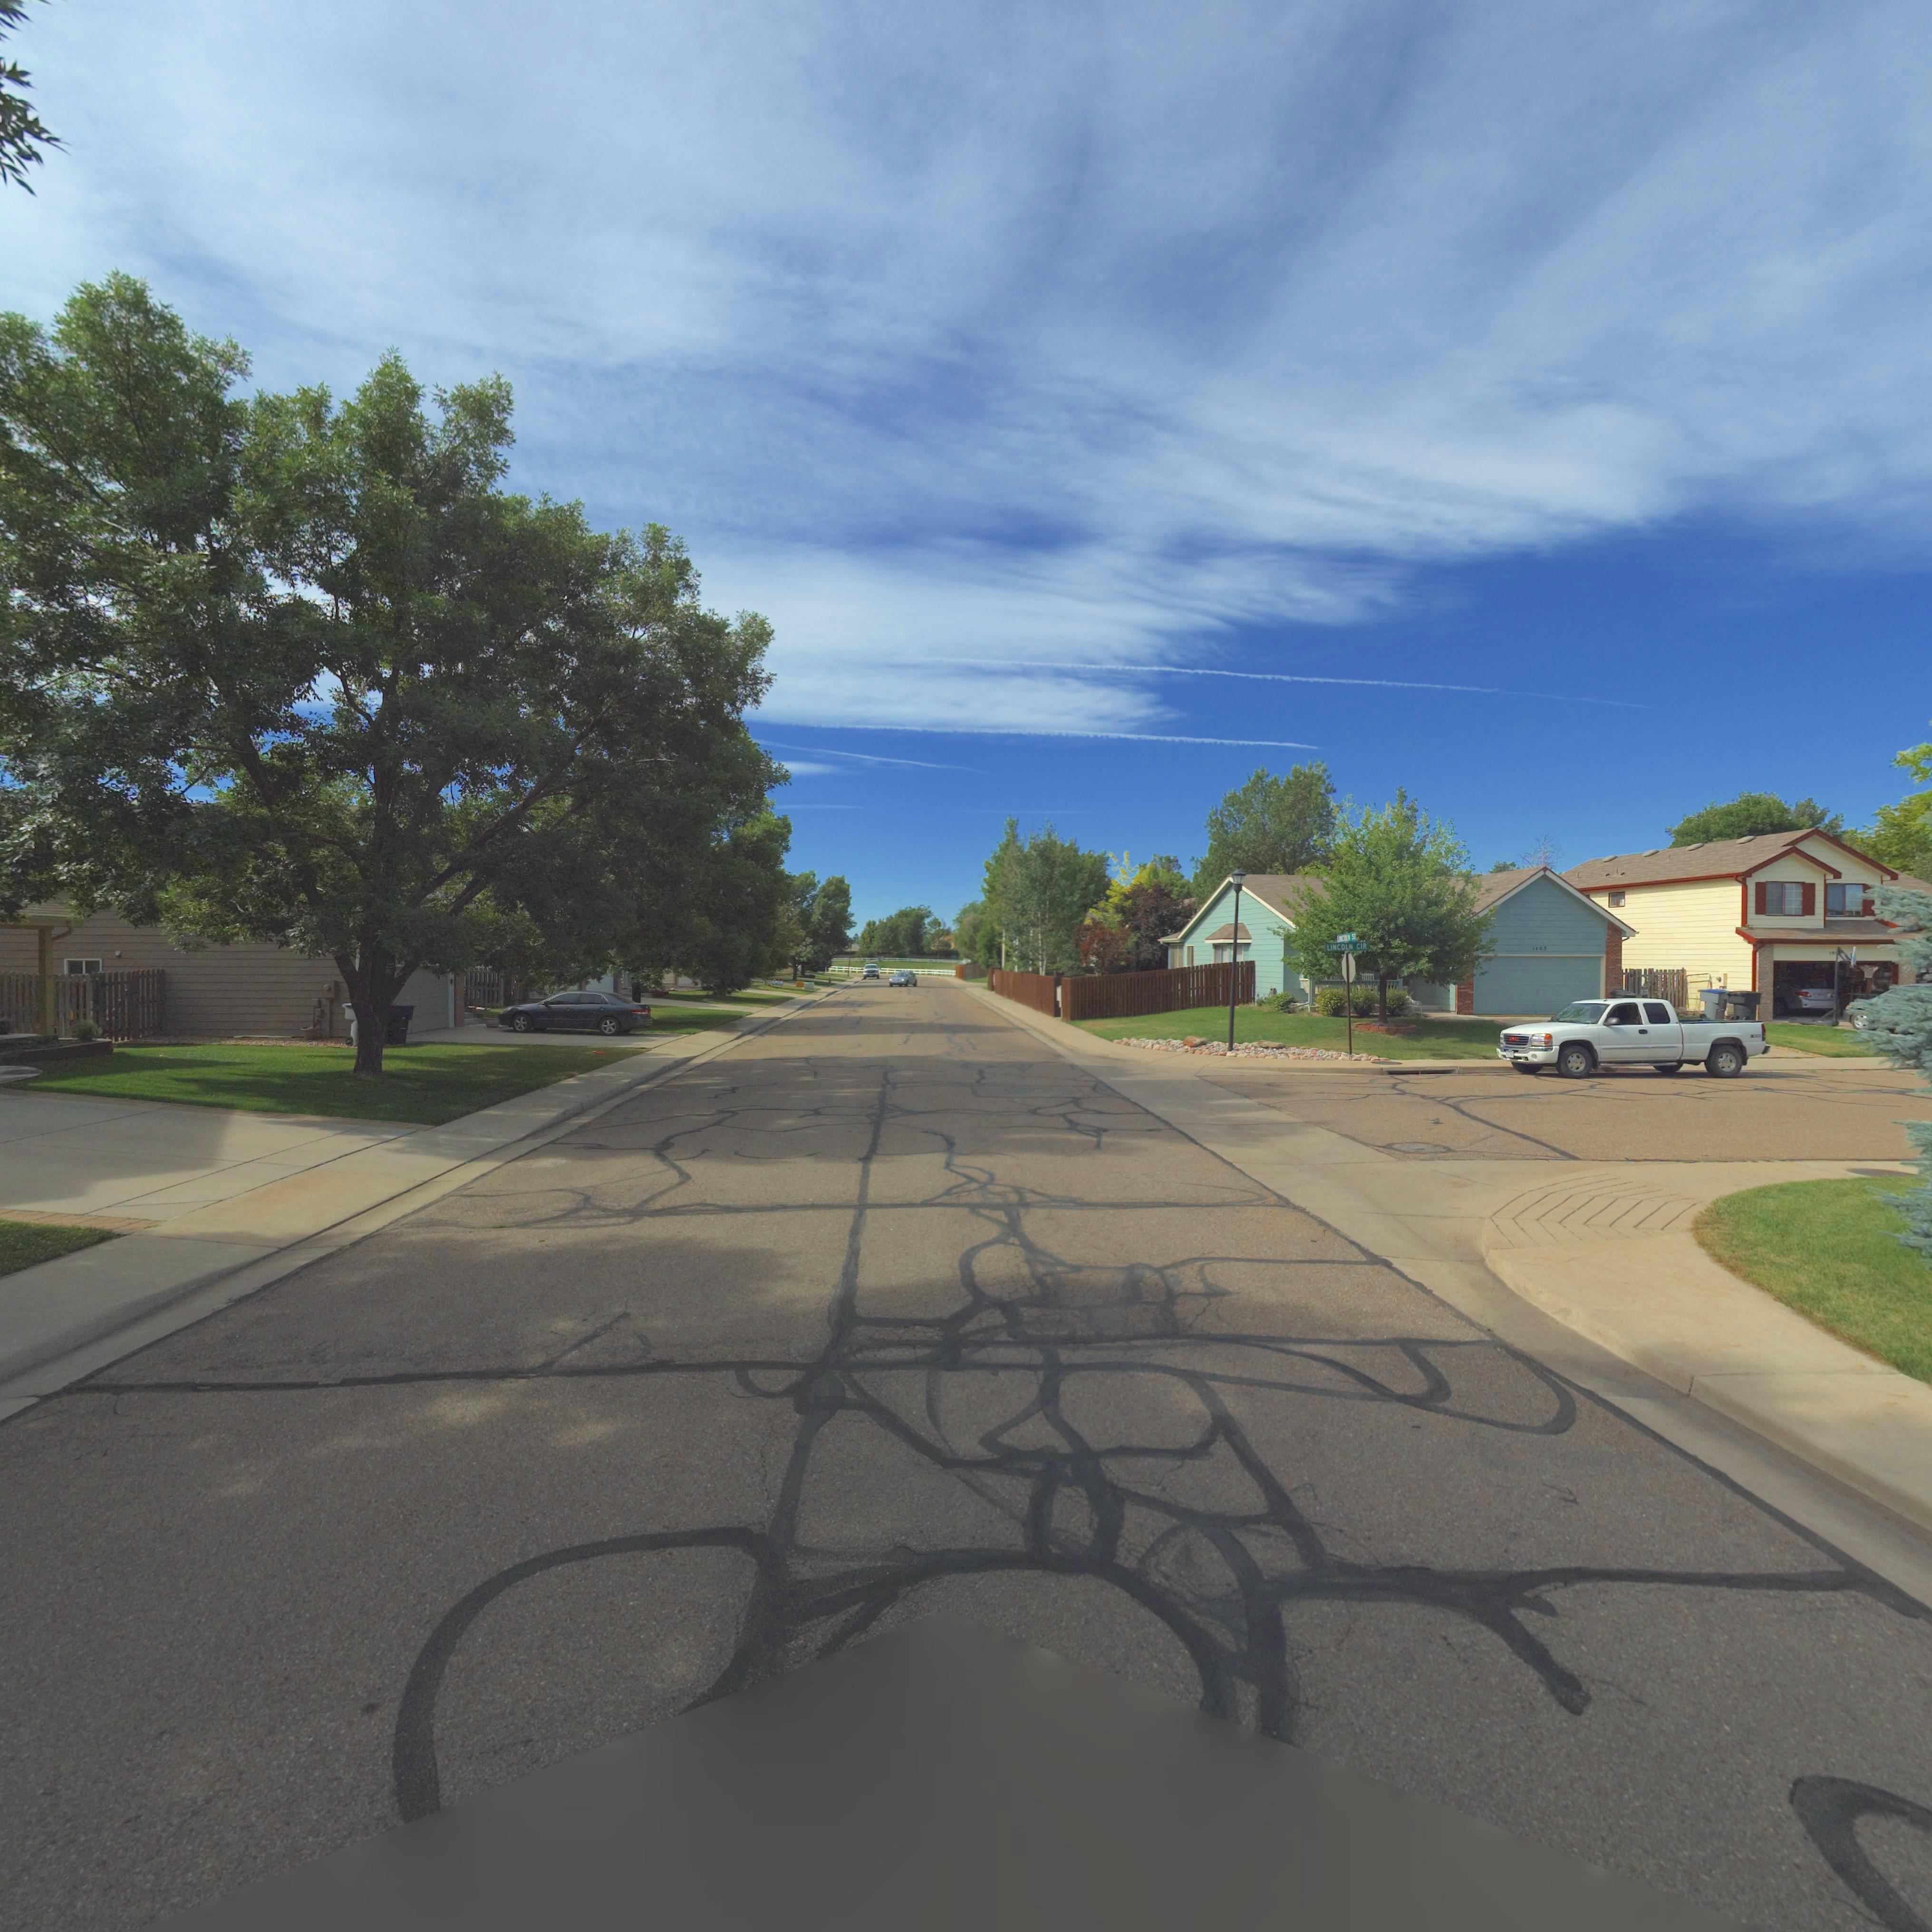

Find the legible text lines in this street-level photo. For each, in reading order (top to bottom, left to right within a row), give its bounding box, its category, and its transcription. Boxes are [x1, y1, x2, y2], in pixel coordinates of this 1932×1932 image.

[1336, 932, 1356, 942] BusinessName: LINCOLN ST
[1326, 942, 1367, 951] StreetName: LINCOLN CIR
[1532, 946, 1547, 951] StreetNumber: 1403
[1828, 950, 1837, 955] StreetNumber: 14*